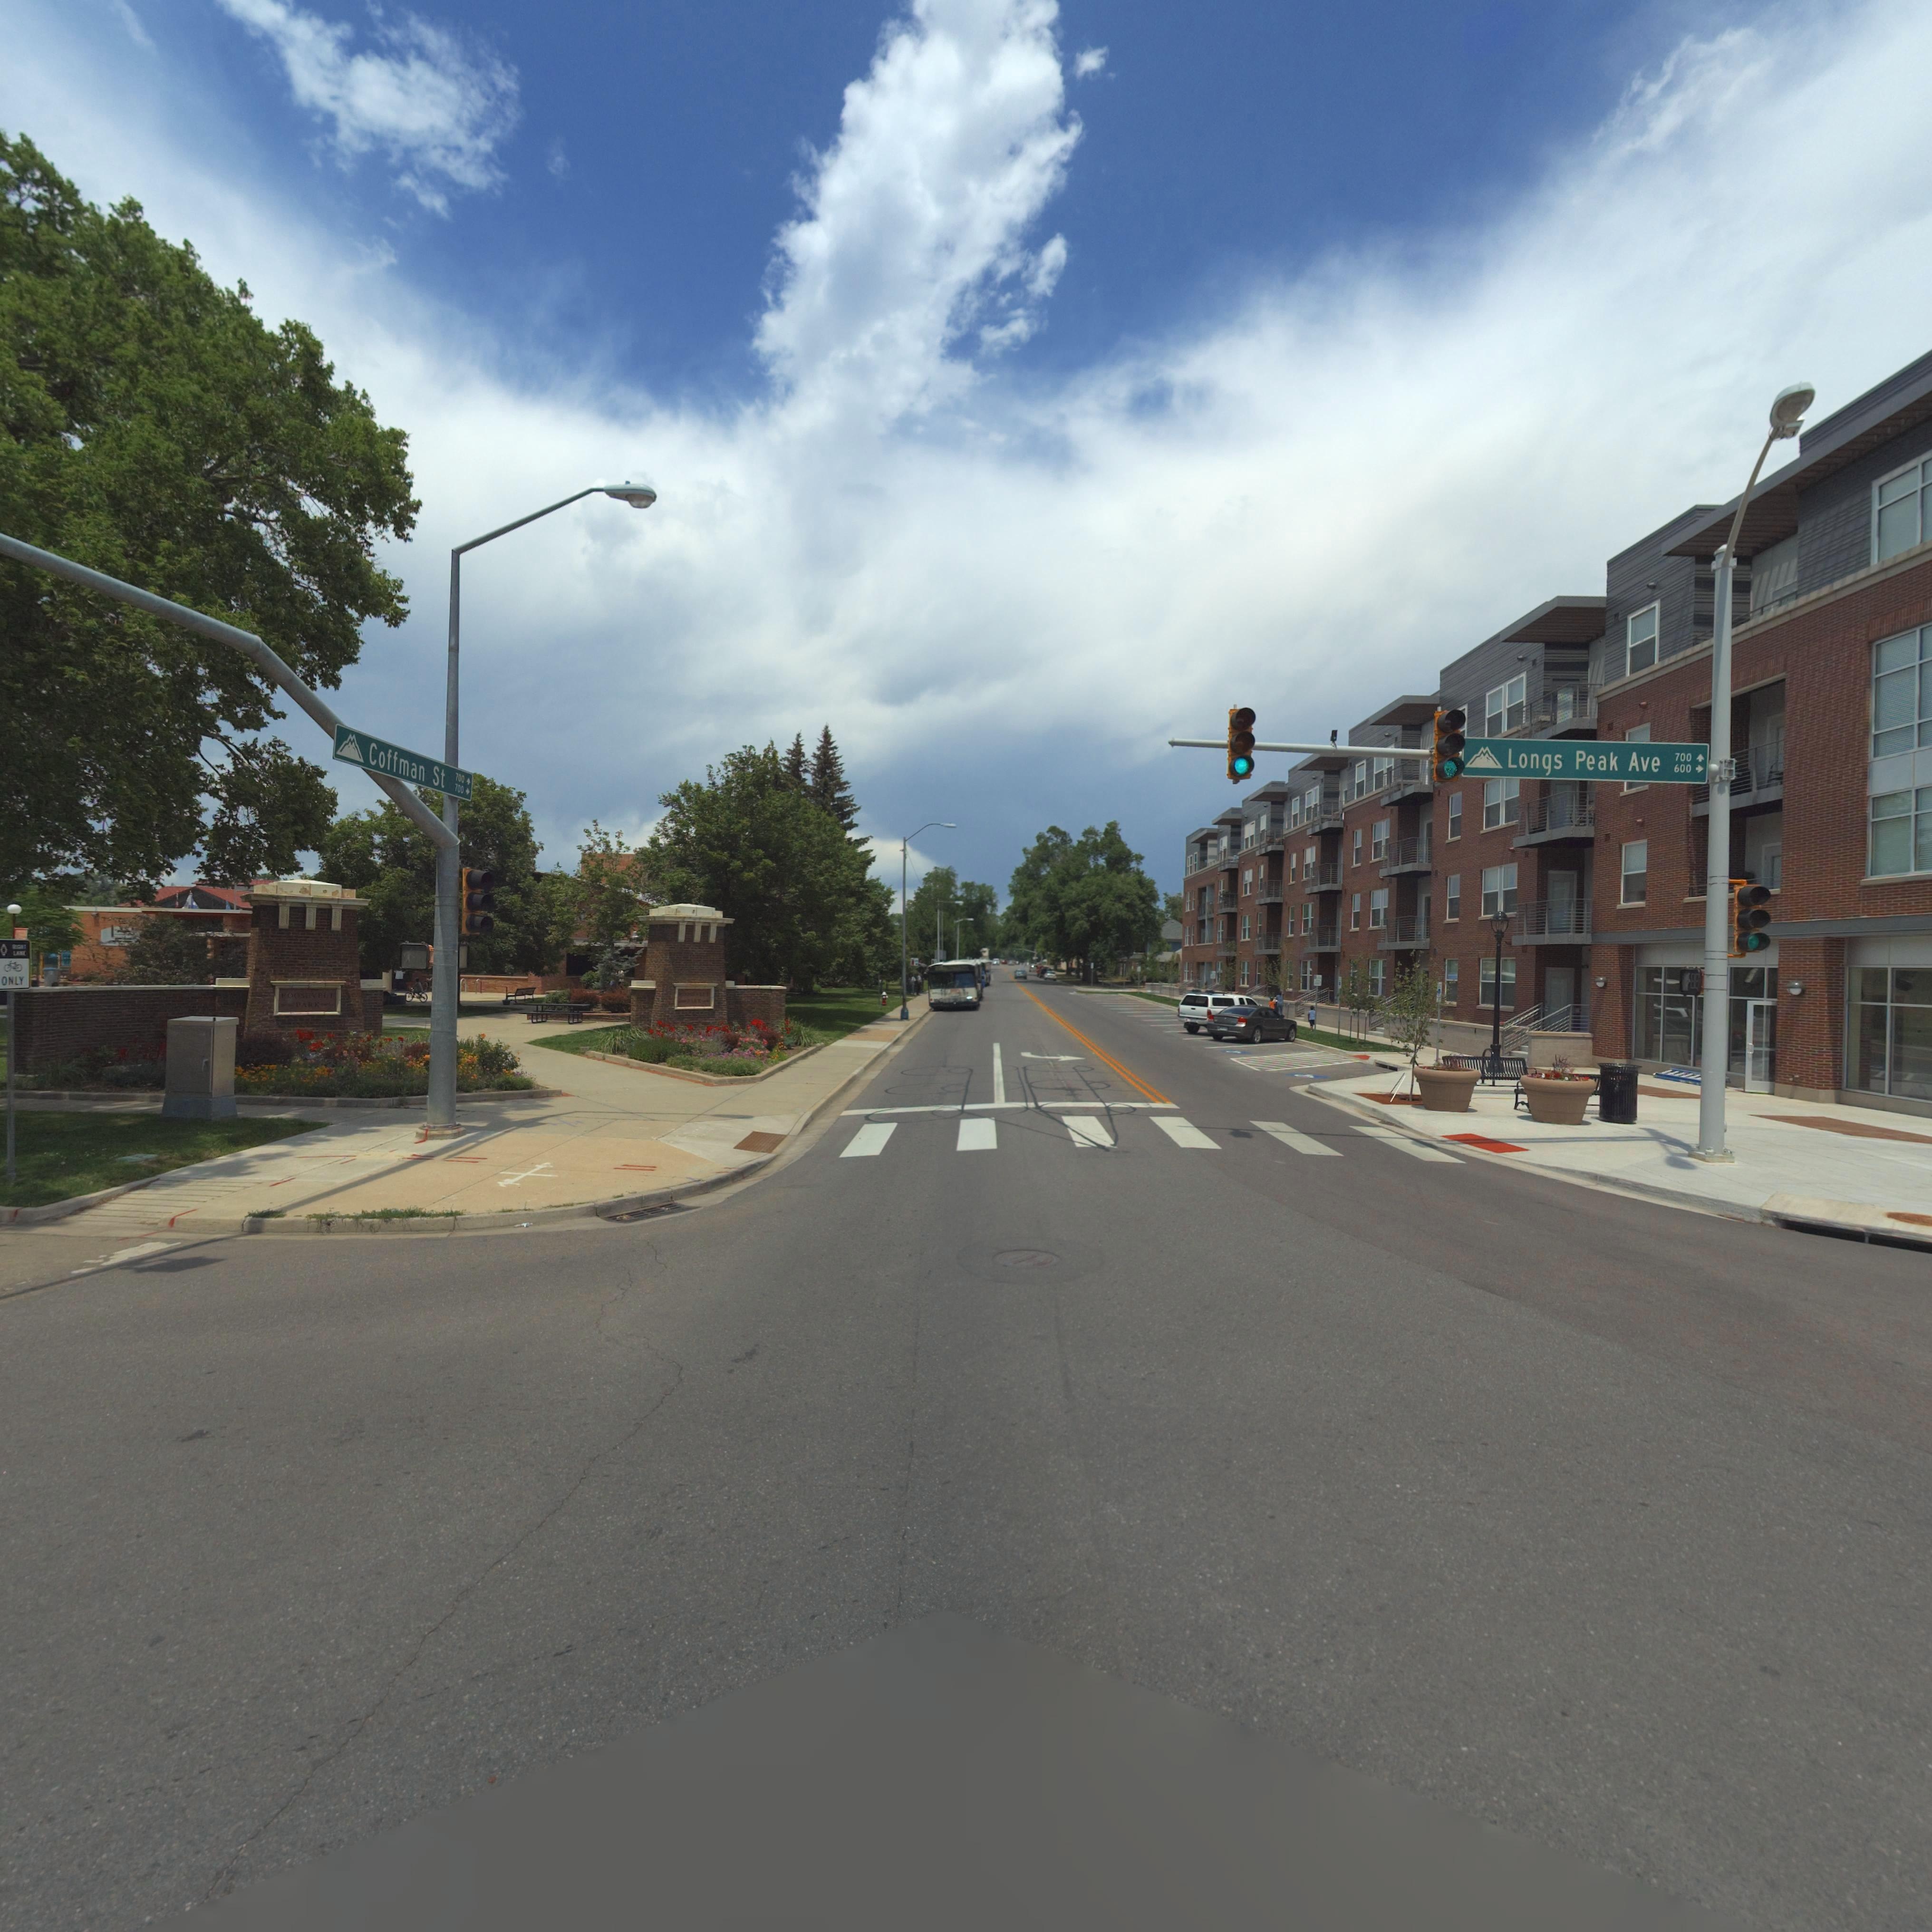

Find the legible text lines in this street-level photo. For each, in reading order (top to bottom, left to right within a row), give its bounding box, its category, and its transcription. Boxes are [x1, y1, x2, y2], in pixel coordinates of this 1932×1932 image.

[368, 742, 447, 789] StreetName: Coffman St
[1506, 748, 1661, 776] StreetName: Longs Peak Ave 
[1674, 753, 1692, 762] StreetNumberRange: 700
[1673, 763, 1705, 774] StreetNumberRange: 600 ->
[454, 772, 465, 784] StreetNumberRange: 700
[454, 782, 470, 795] StreetNumberRange: 700 ->